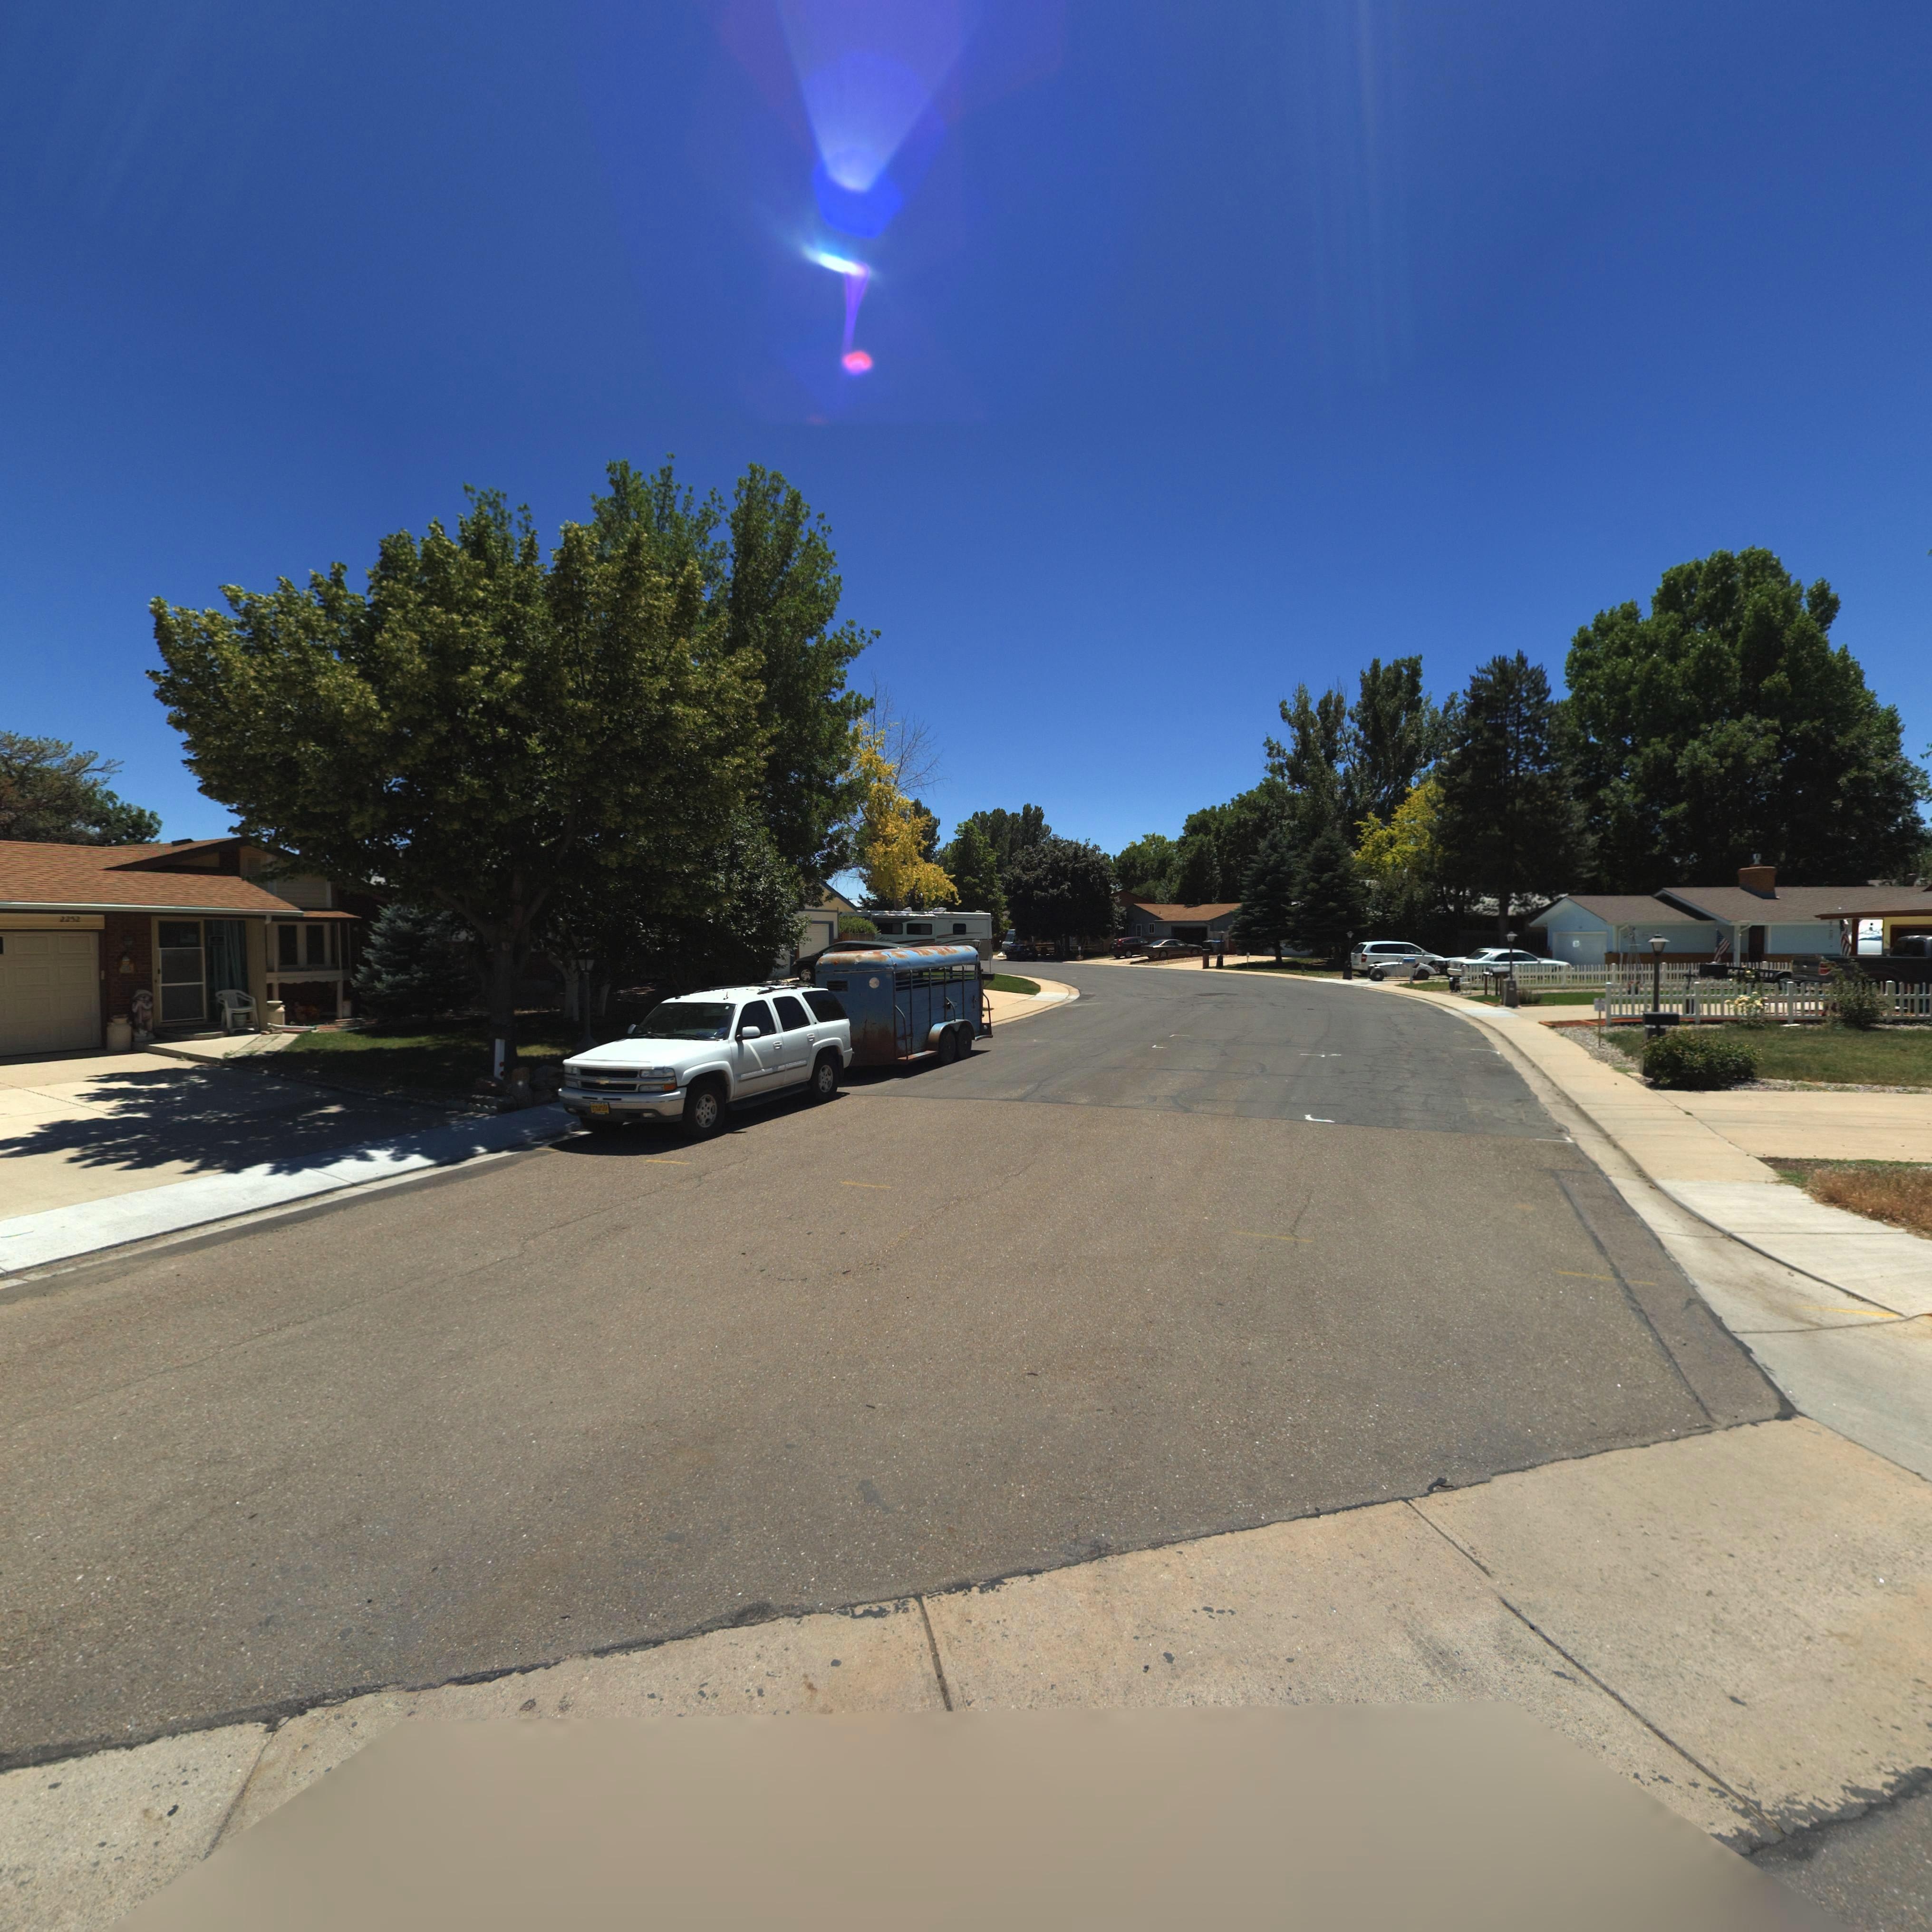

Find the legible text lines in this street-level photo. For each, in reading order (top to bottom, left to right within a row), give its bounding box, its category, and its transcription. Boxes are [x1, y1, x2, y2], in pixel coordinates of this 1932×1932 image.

[58, 915, 81, 922] StreetNumber: 2252